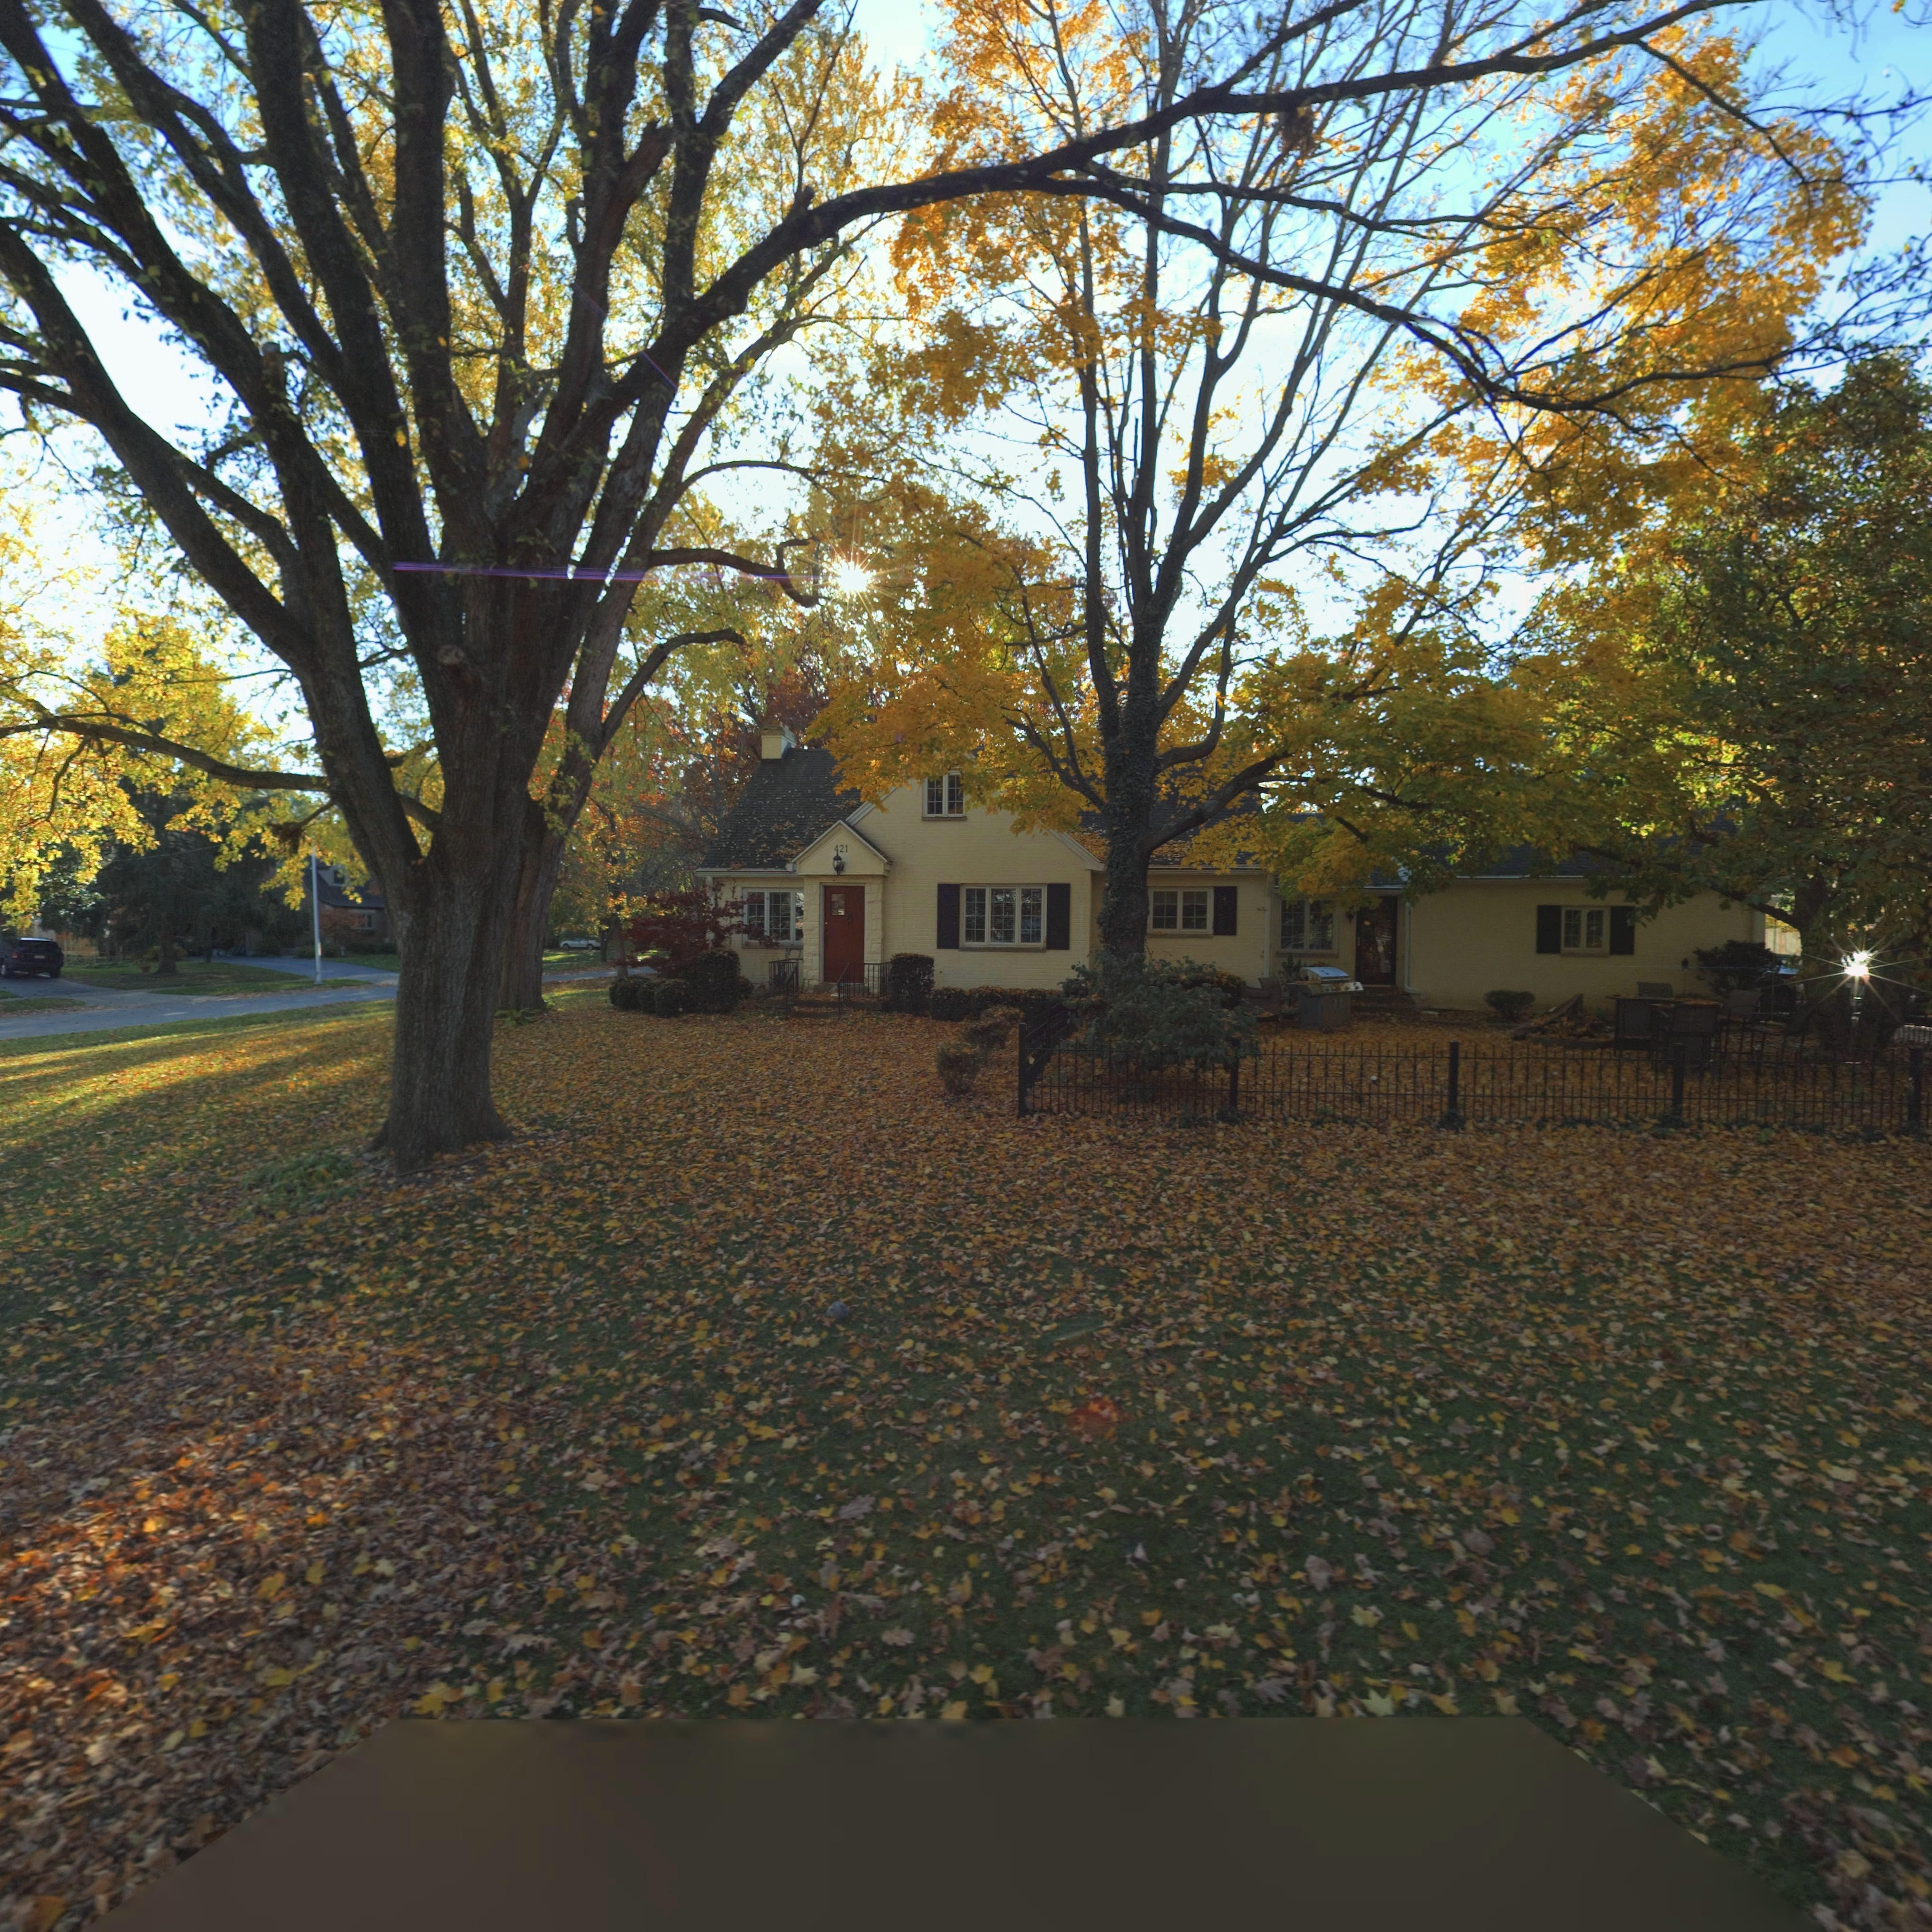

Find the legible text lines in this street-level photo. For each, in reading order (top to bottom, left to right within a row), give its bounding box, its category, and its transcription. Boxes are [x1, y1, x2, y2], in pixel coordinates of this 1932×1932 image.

[832, 843, 849, 853] StreetNumber: 421